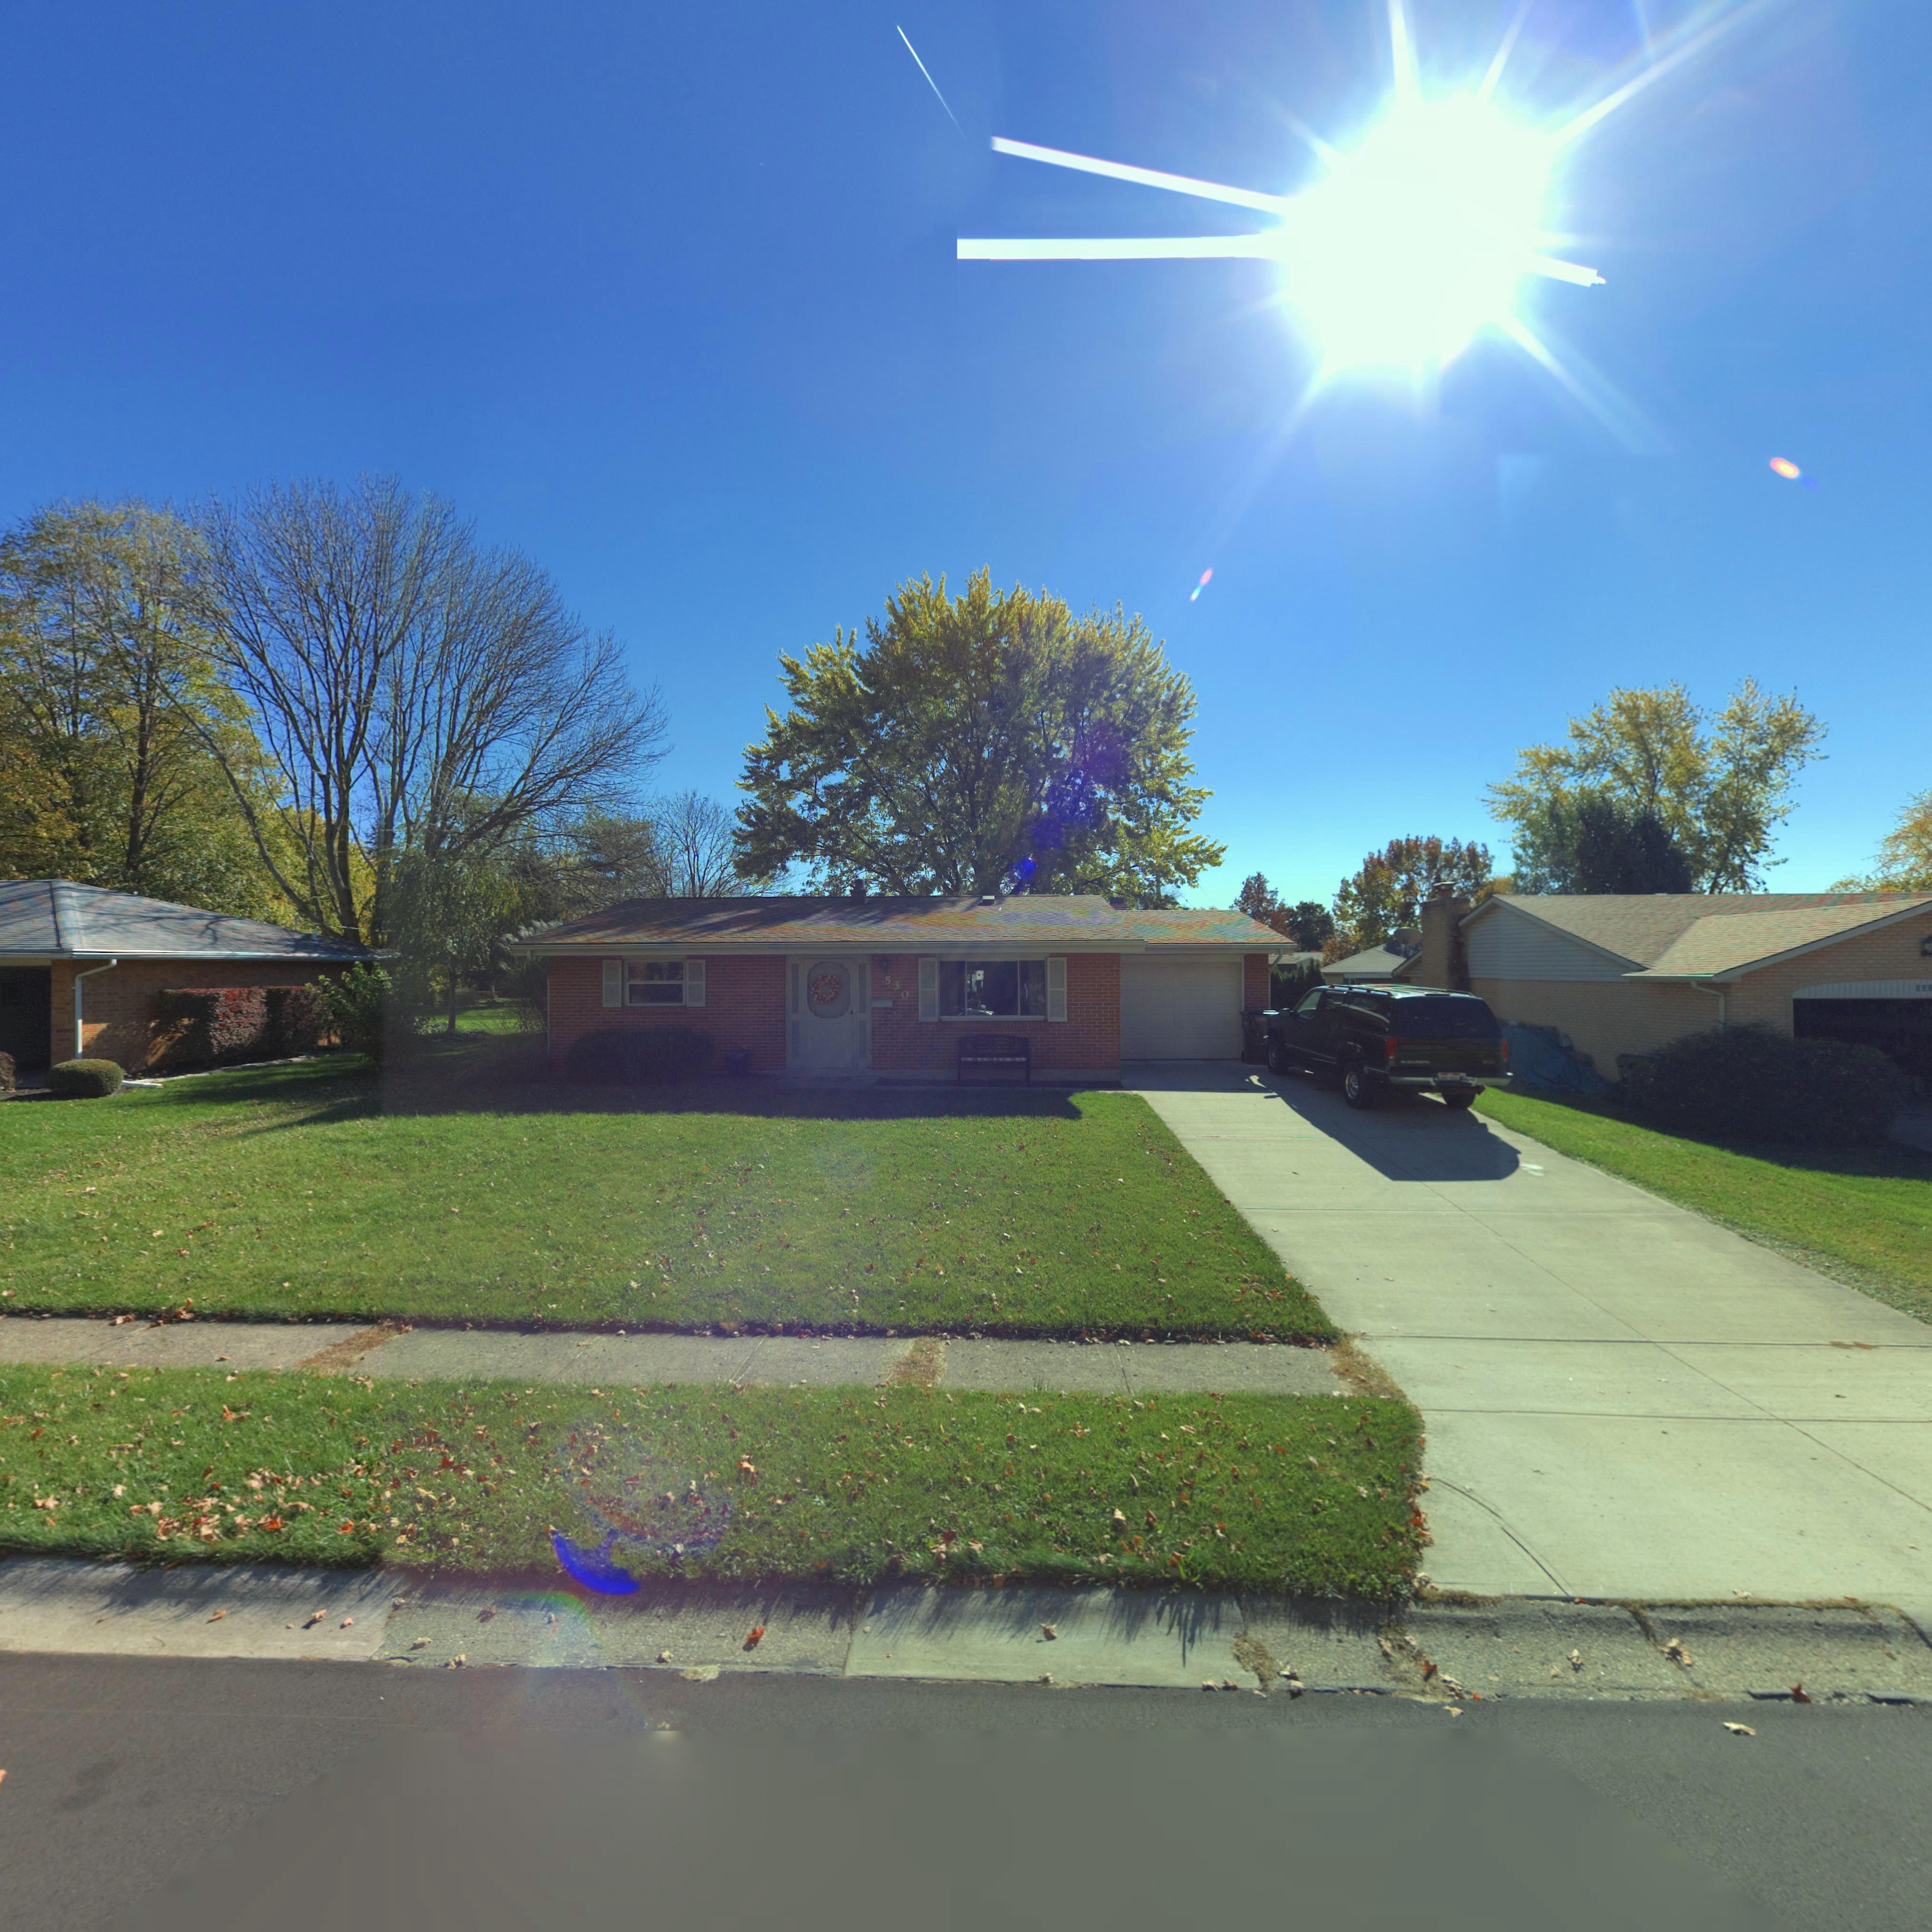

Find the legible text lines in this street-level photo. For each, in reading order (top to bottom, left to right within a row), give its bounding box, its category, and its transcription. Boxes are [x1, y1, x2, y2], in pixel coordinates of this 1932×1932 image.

[883, 975, 910, 1001] StreetNumber: 530